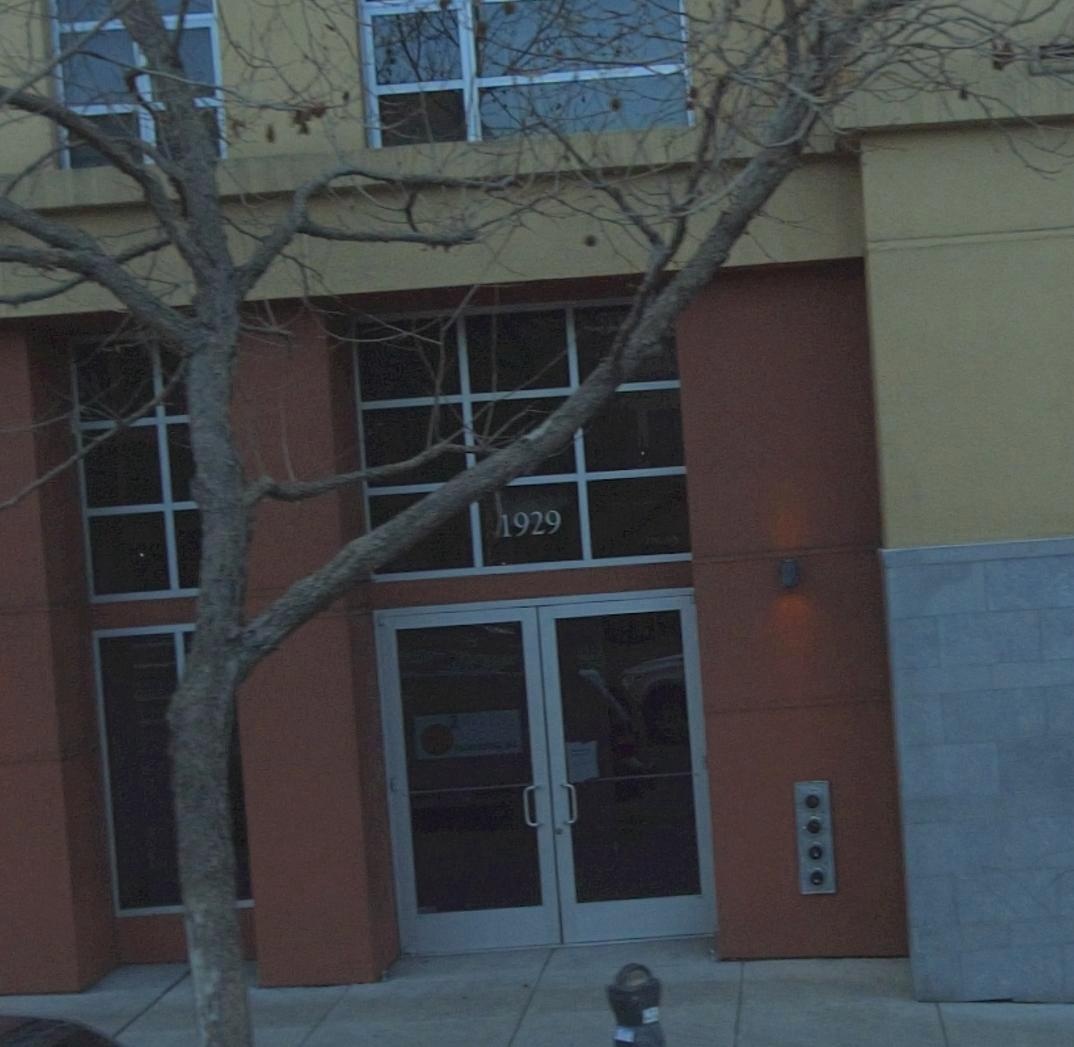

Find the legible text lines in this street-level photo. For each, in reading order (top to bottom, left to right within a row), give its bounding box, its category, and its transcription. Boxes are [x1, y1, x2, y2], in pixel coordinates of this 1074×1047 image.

[497, 506, 565, 542] StreetNumber: 1929